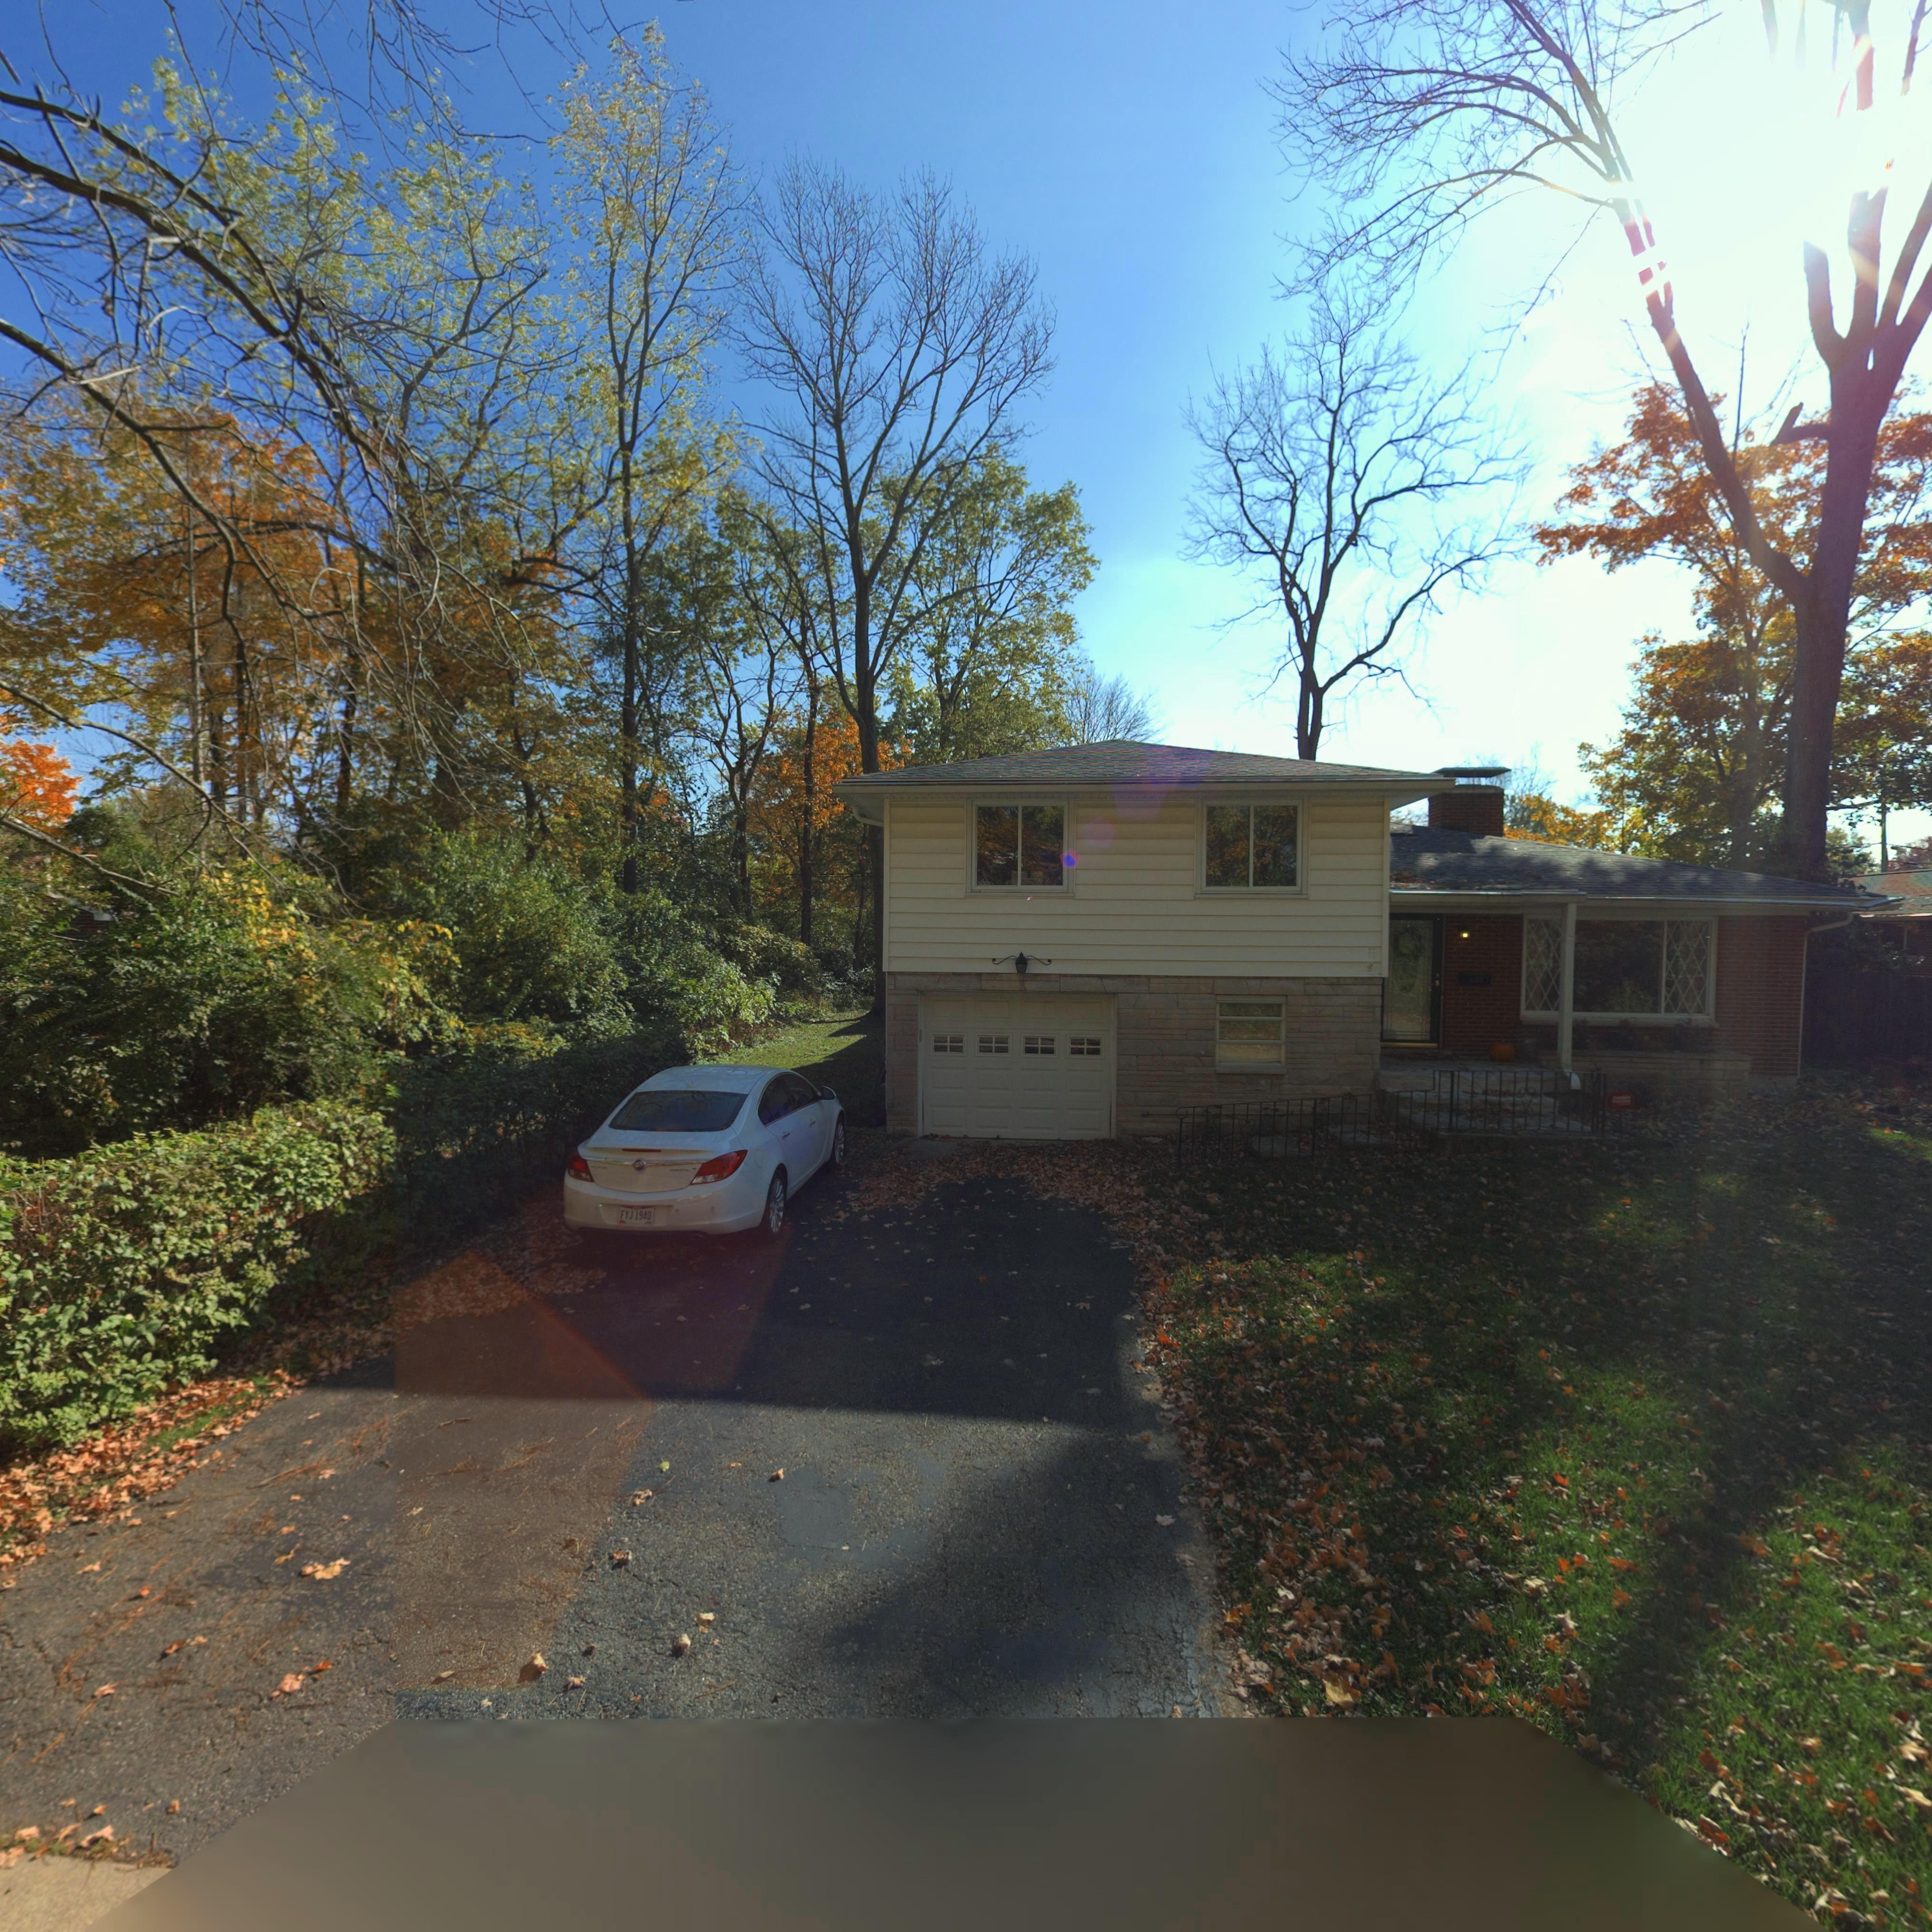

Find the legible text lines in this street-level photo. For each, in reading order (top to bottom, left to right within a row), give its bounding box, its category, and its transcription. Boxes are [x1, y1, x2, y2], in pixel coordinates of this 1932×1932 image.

[619, 1209, 652, 1221] None: FYJ*1940